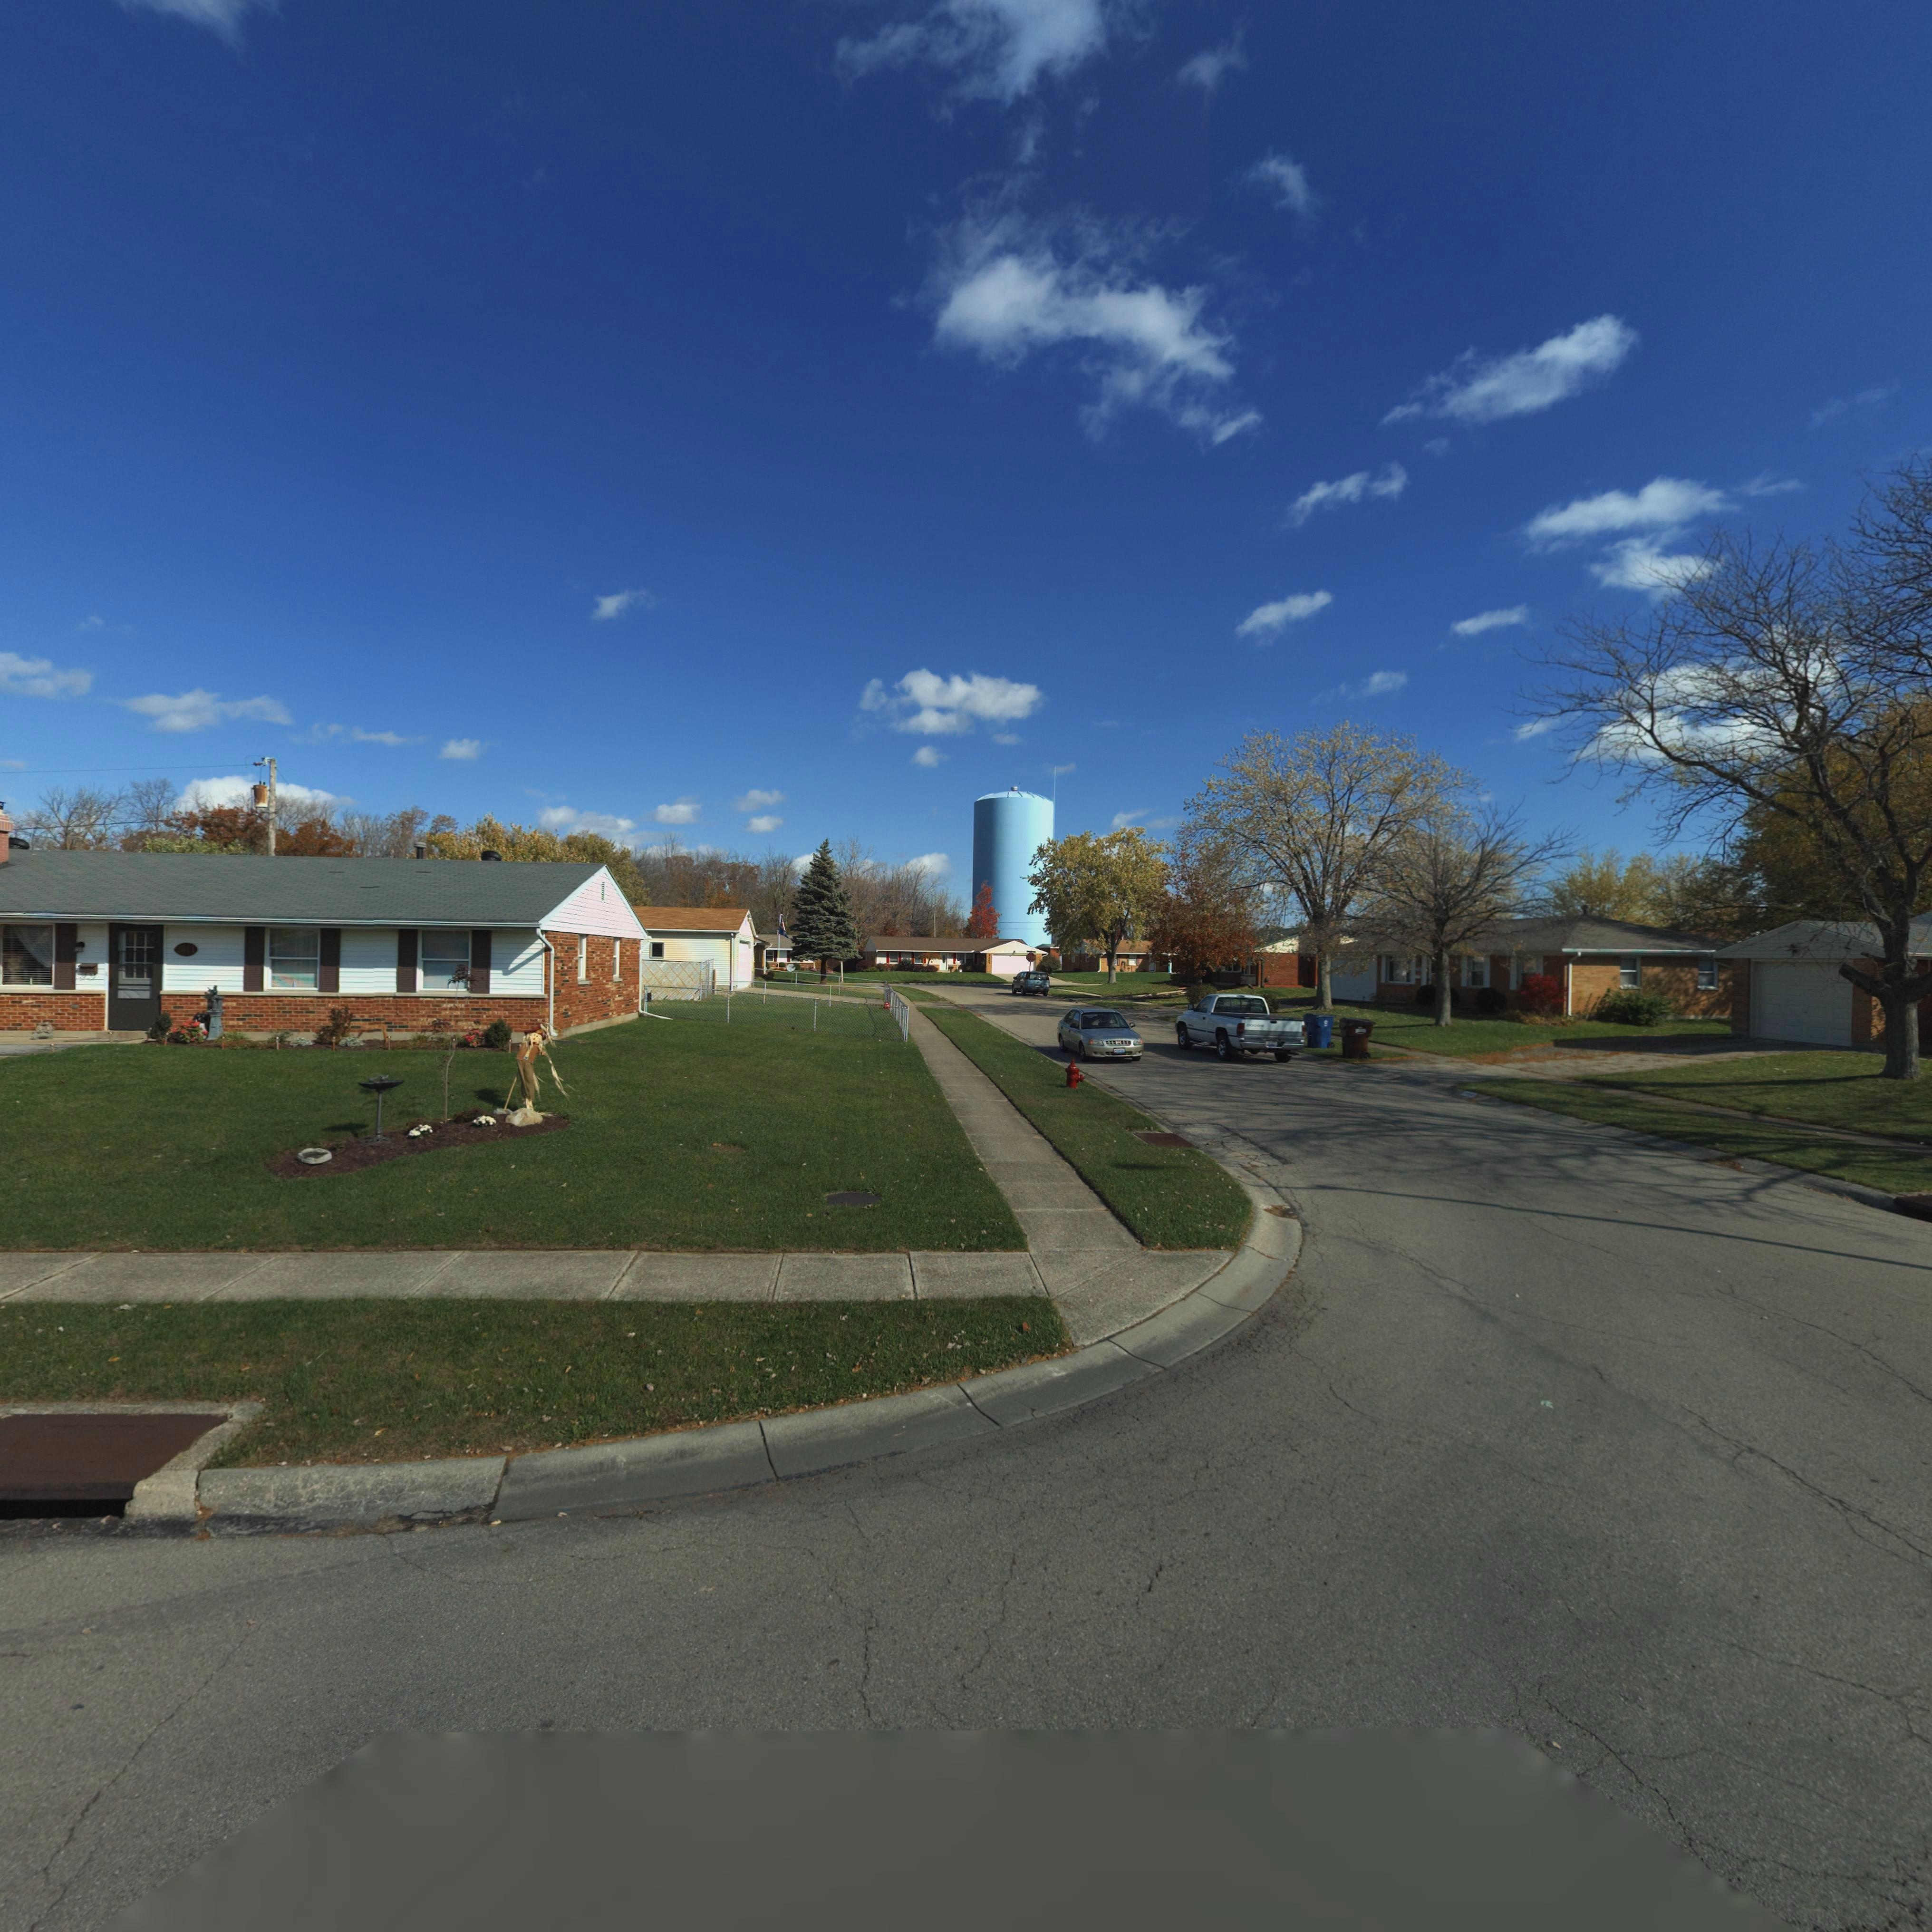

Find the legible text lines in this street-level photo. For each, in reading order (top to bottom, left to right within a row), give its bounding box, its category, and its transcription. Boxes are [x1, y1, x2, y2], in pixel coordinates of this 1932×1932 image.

[177, 945, 195, 954] StreetNumber: 7821